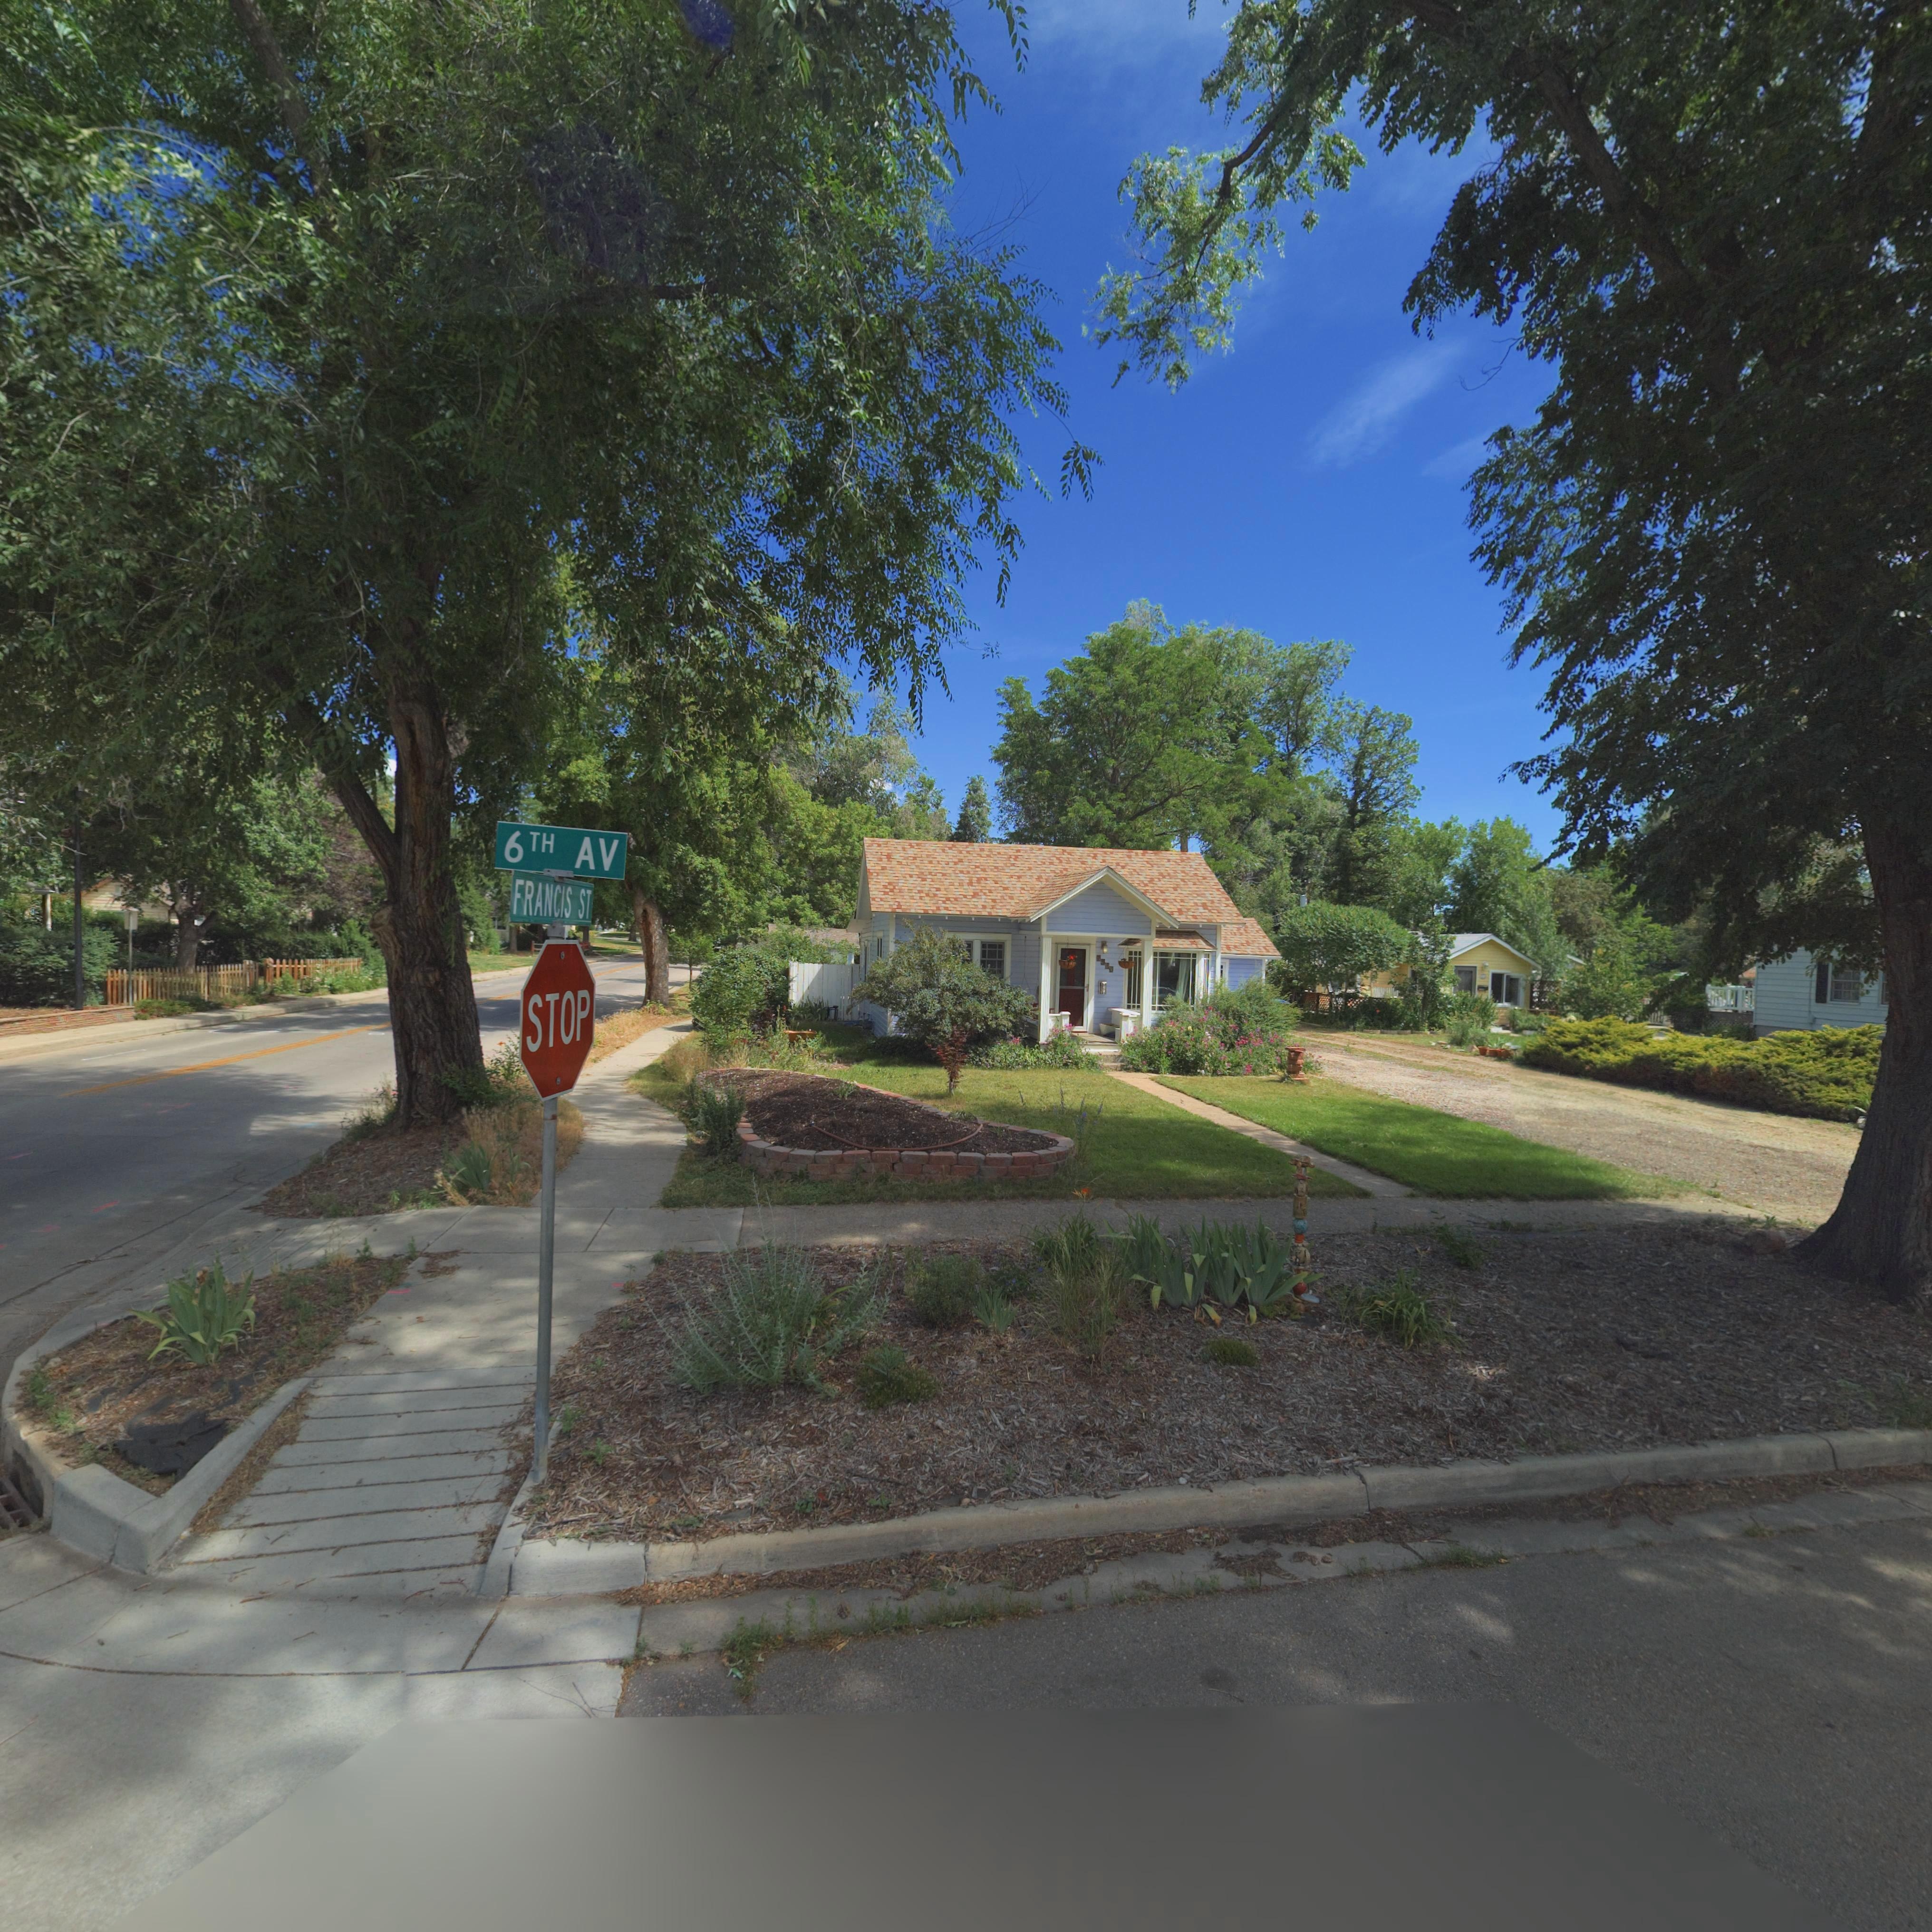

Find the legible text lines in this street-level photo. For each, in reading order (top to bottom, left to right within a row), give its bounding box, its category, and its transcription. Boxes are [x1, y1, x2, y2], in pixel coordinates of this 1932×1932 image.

[504, 830, 619, 871] StreetName: 6TH AV
[512, 879, 592, 919] StreetName: FRANCIS ST
[1097, 955, 1113, 973] StreetNumber: 1**0